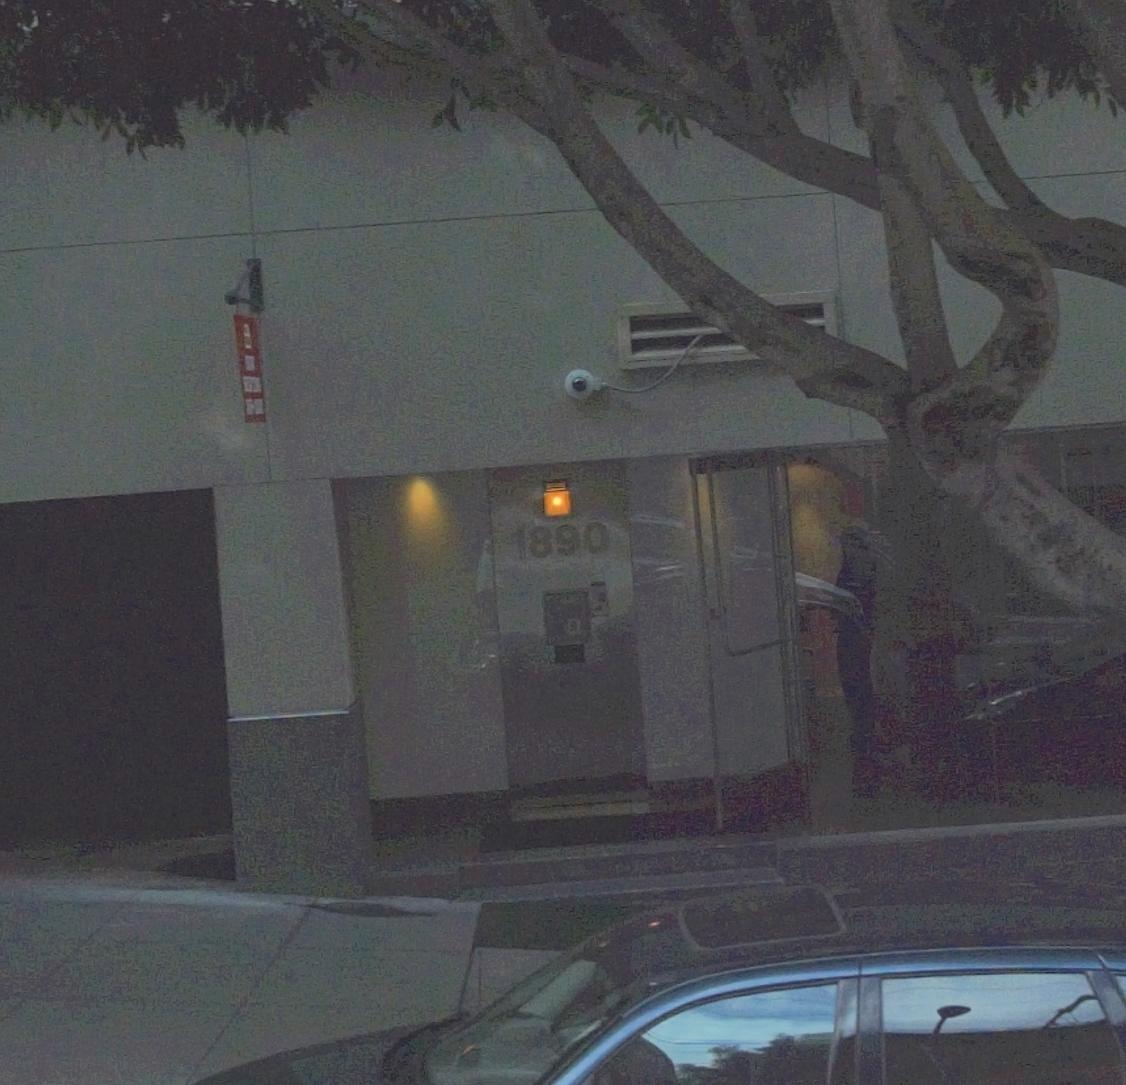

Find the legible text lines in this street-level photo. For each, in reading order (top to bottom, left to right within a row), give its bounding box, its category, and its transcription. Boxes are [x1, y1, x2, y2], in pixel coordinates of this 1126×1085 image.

[508, 521, 612, 561] StreetNumber: 1890